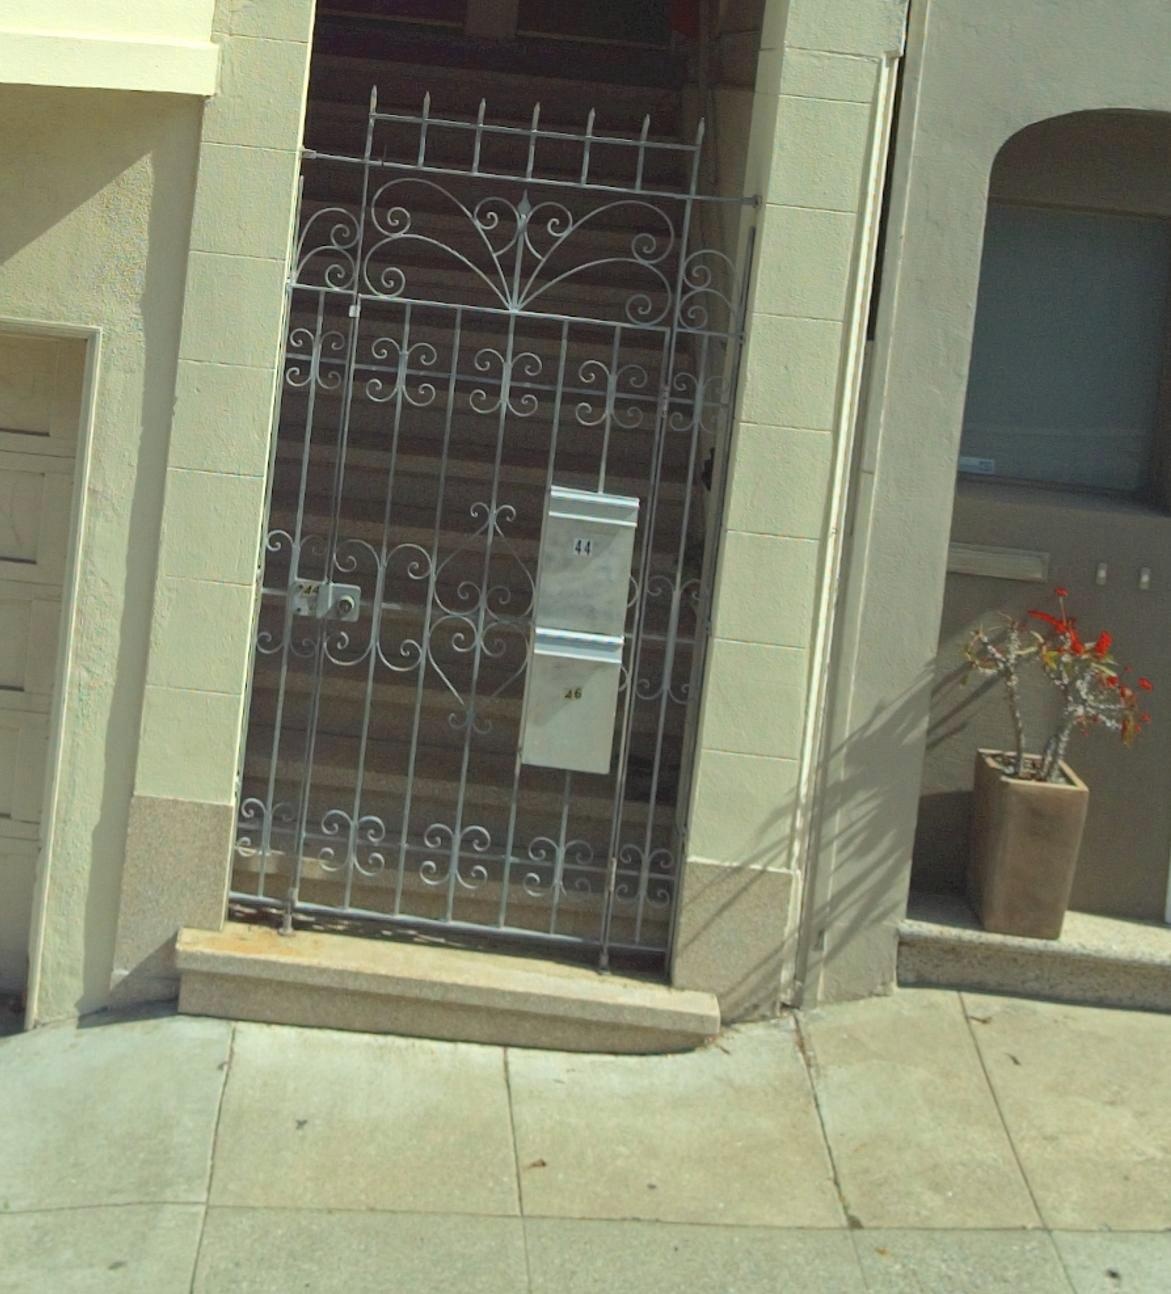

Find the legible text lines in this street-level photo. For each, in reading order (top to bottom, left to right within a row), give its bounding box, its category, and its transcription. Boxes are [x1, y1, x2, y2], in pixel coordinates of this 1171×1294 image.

[573, 534, 595, 559] StreetNumber: 44
[562, 685, 584, 703] StreetNumber: 26